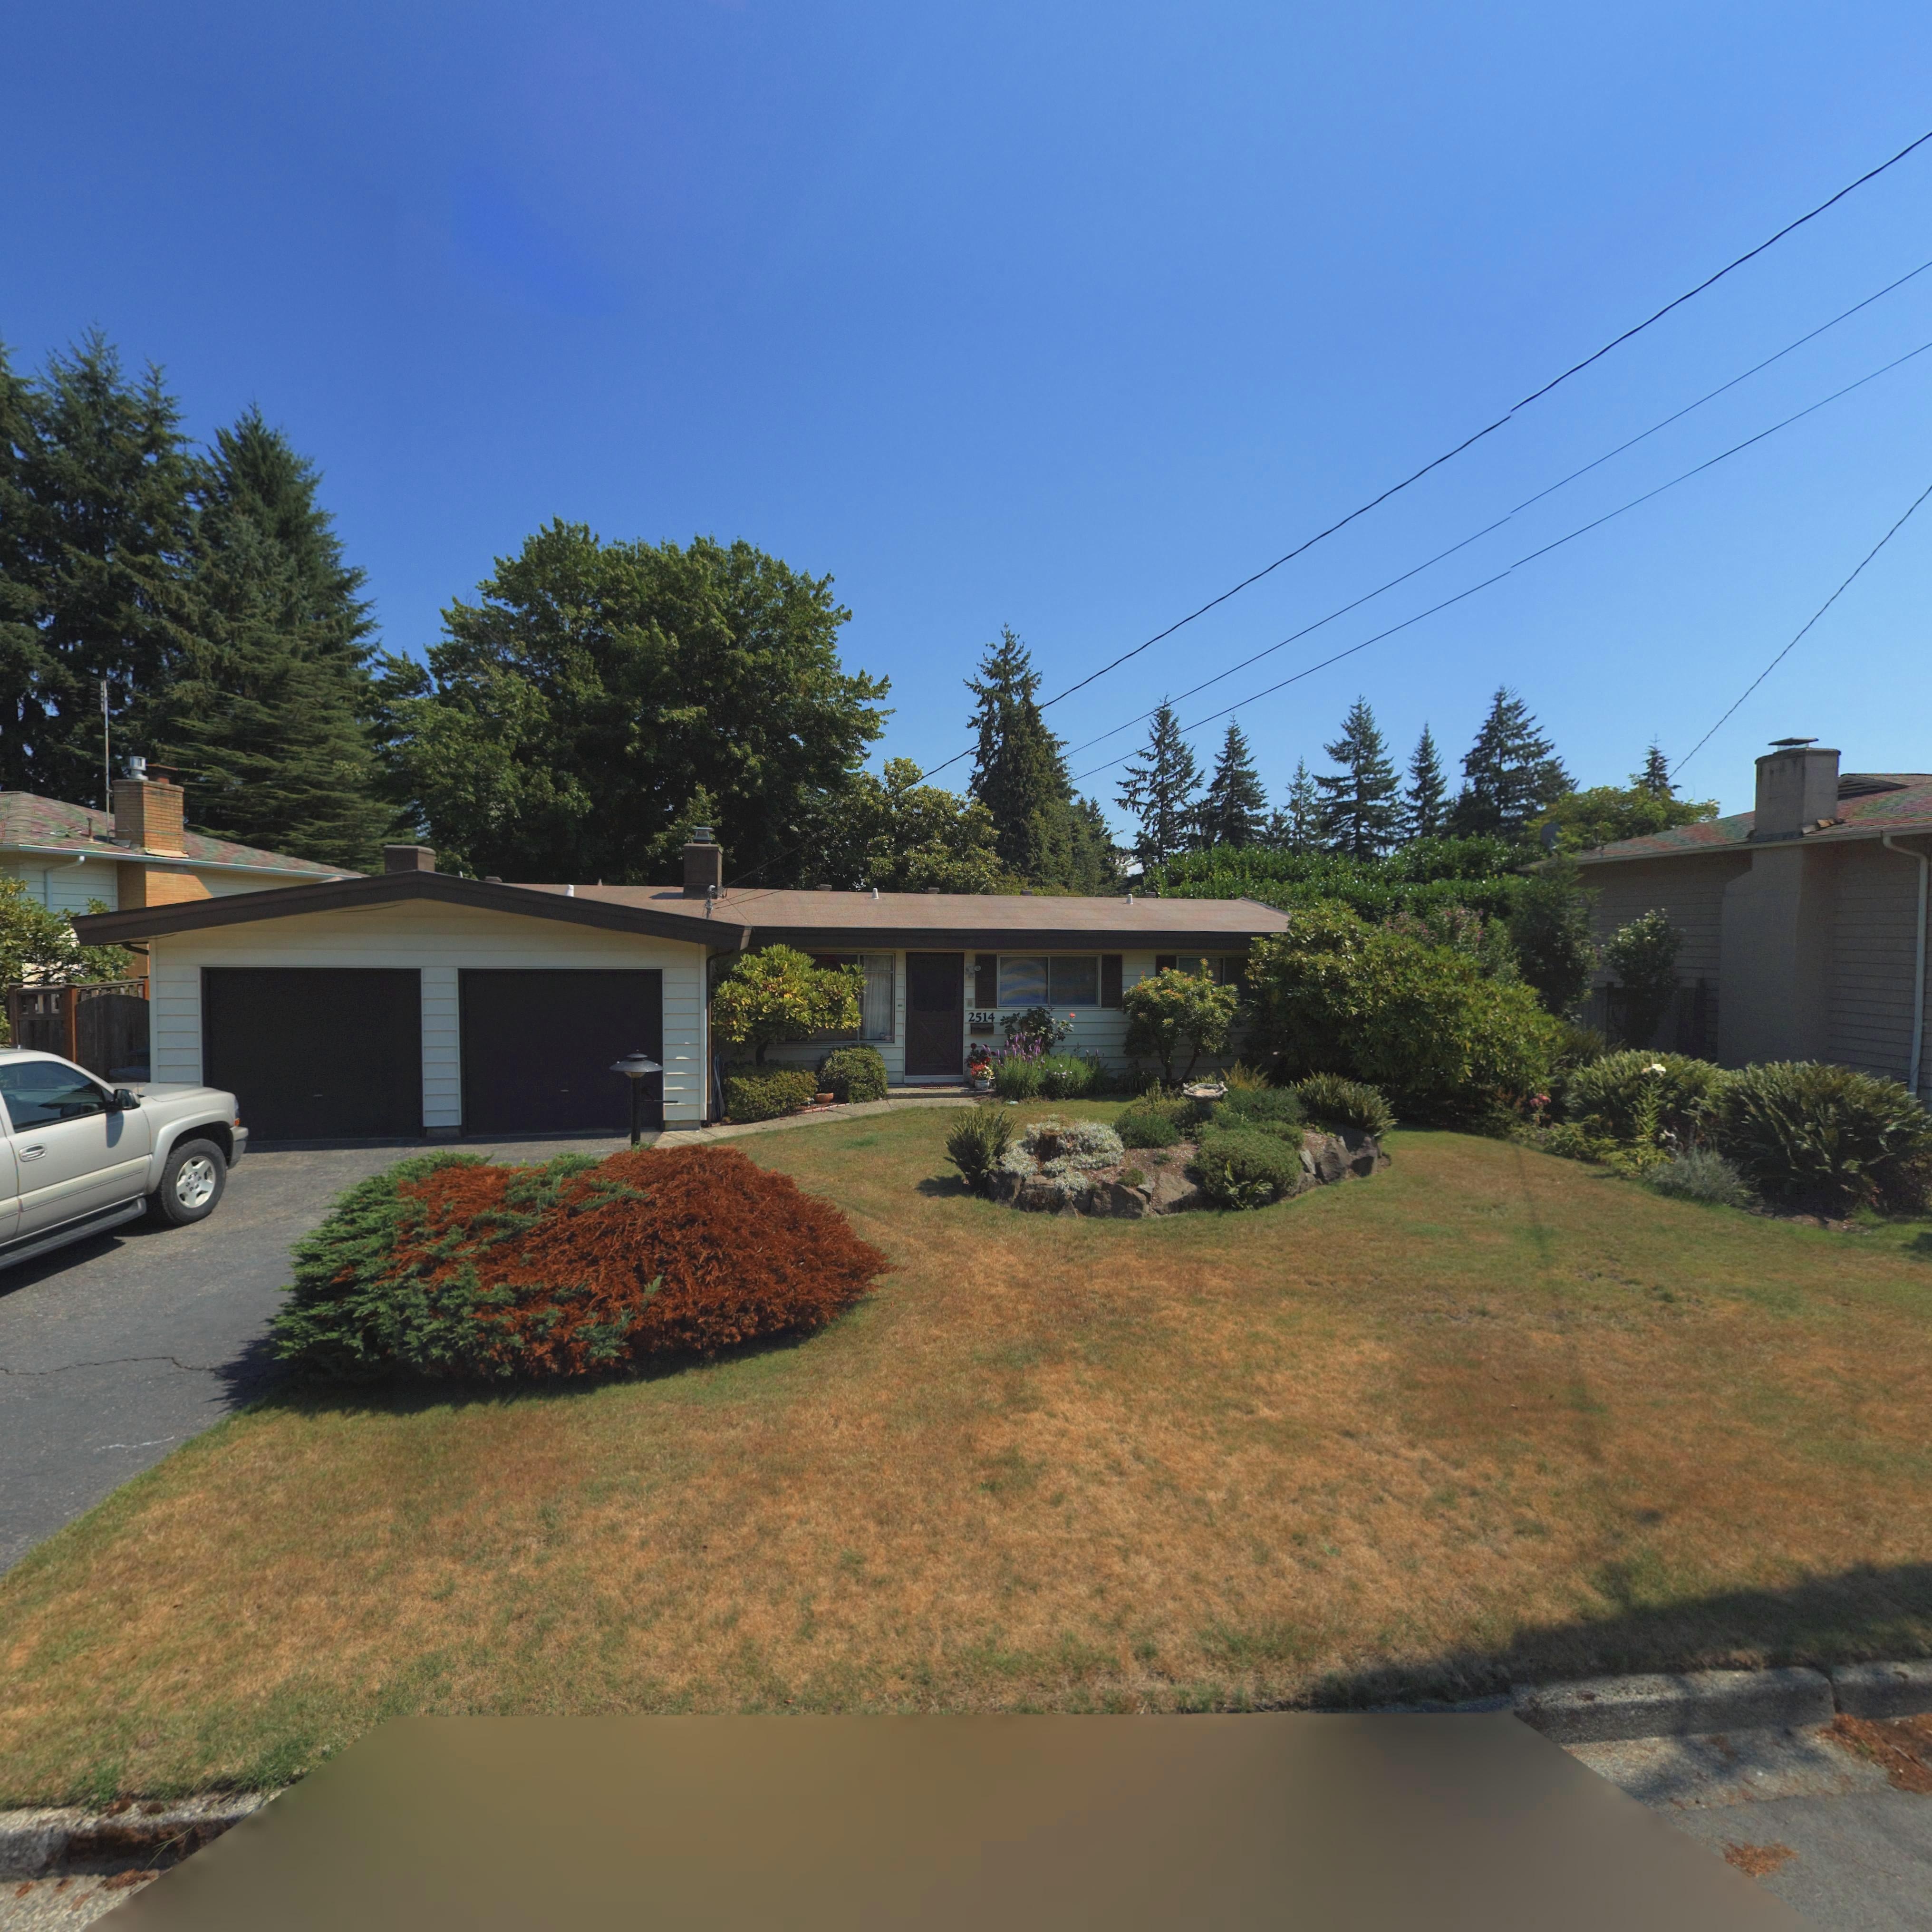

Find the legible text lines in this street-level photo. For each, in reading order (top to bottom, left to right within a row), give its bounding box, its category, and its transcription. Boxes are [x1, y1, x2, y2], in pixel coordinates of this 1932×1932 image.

[968, 1012, 995, 1023] StreetNumber: 2514